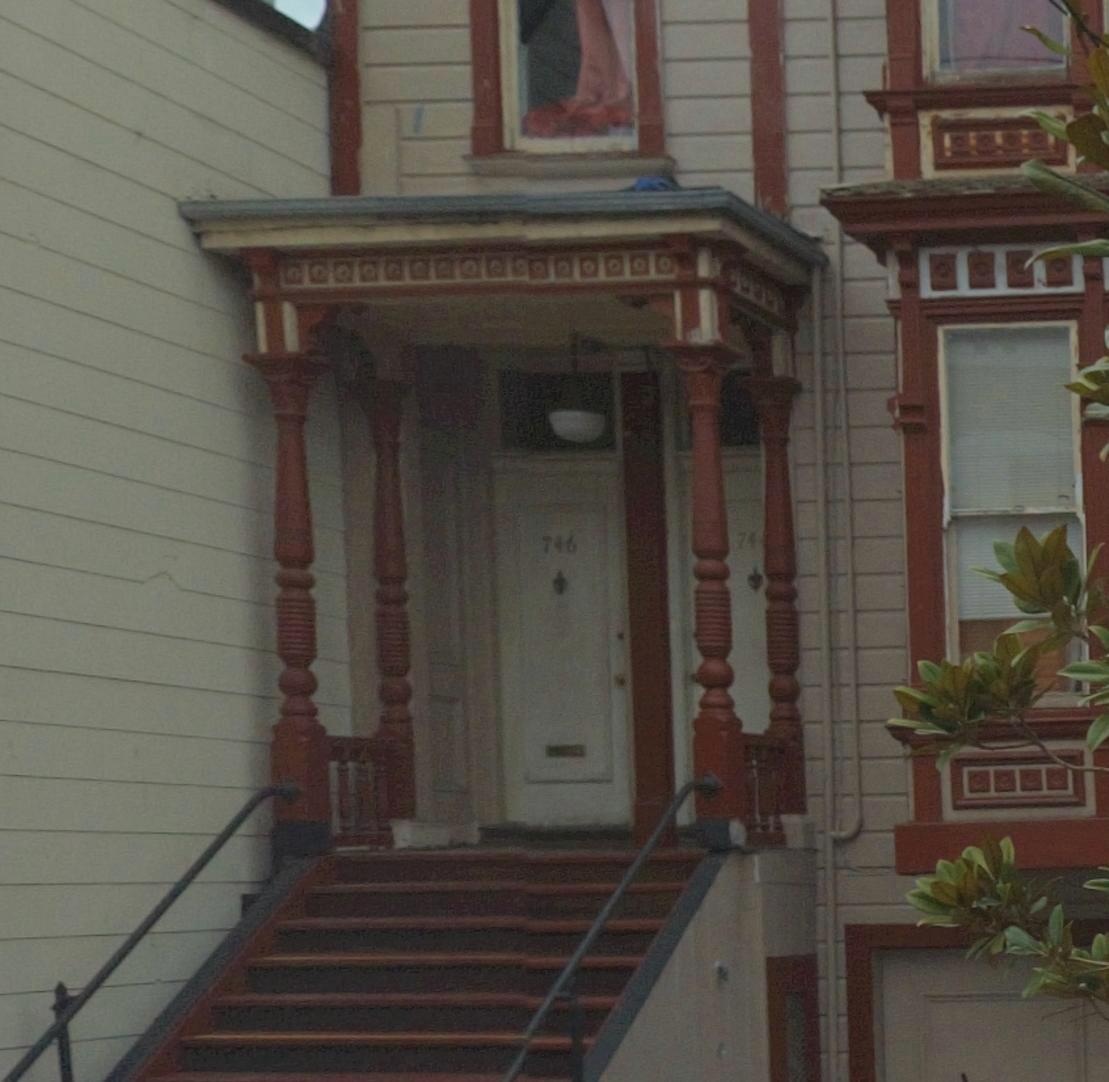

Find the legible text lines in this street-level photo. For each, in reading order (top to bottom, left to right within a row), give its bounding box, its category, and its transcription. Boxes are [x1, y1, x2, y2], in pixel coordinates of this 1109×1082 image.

[541, 532, 580, 554] StreetNumber: 746
[735, 529, 768, 552] StreetNumber: 74*